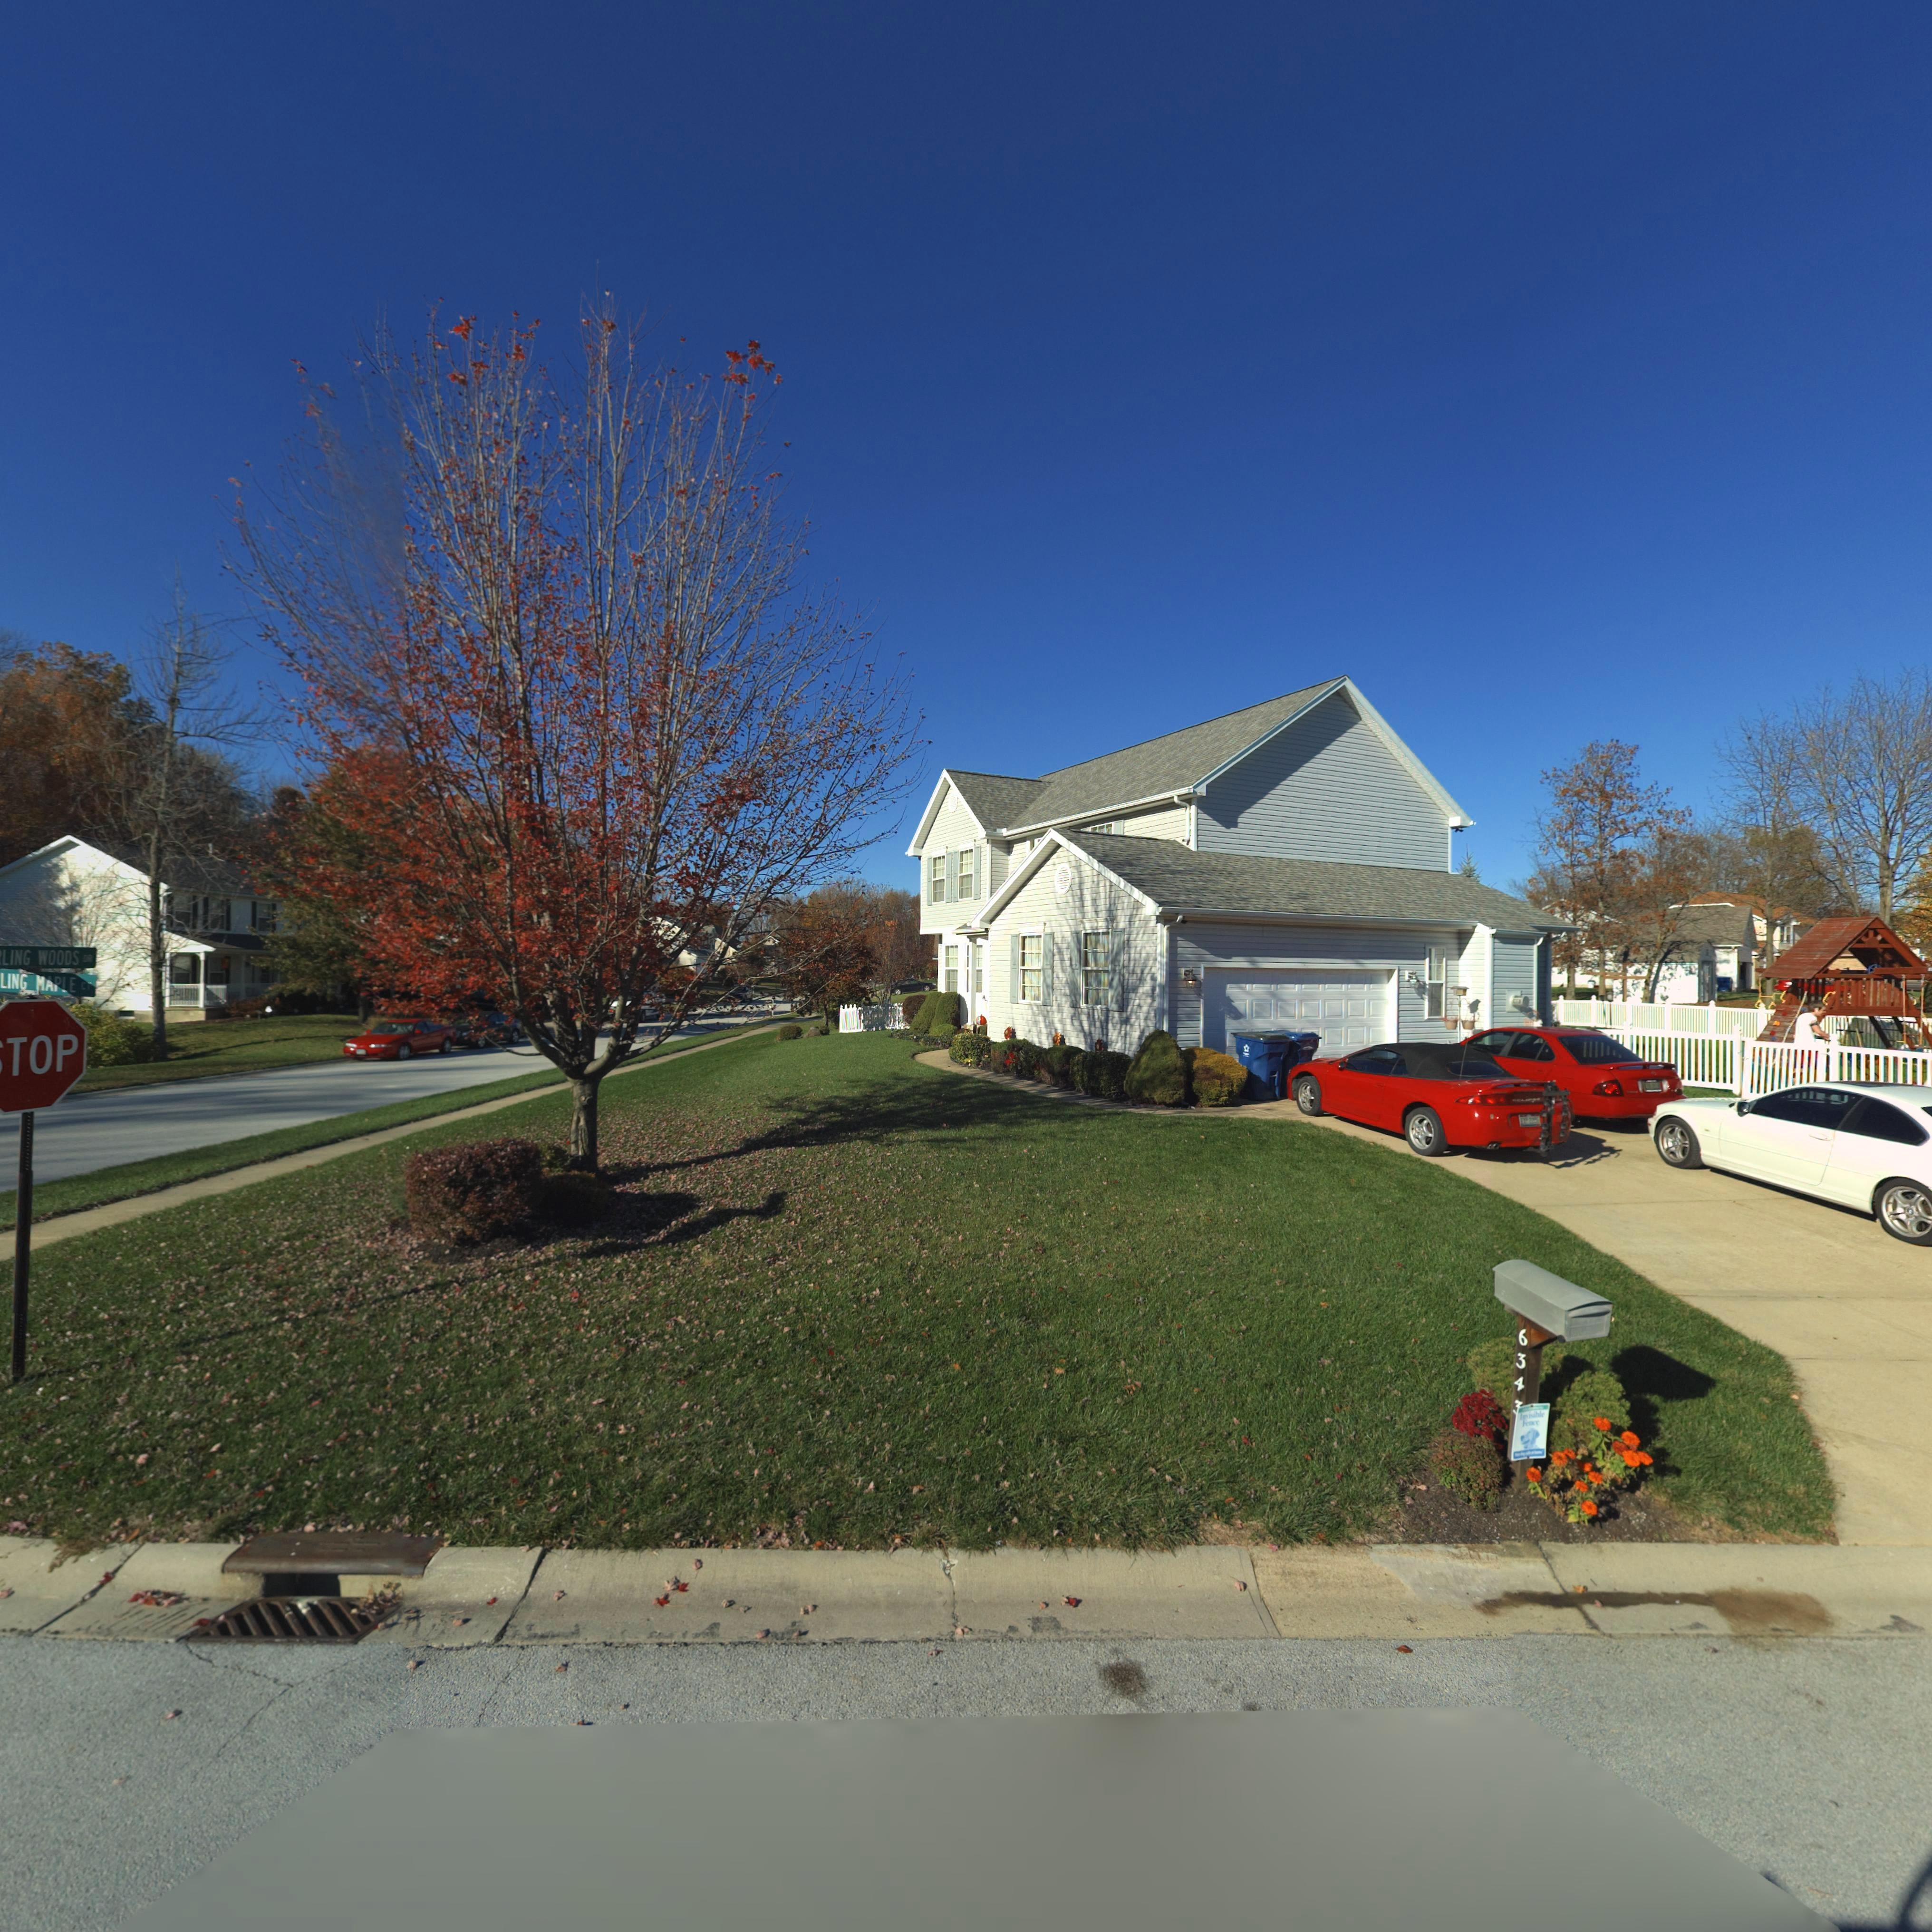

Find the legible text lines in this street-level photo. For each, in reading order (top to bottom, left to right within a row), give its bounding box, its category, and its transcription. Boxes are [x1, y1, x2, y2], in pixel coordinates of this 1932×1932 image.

[1513, 1327, 1529, 1392] StreetNumber: 634